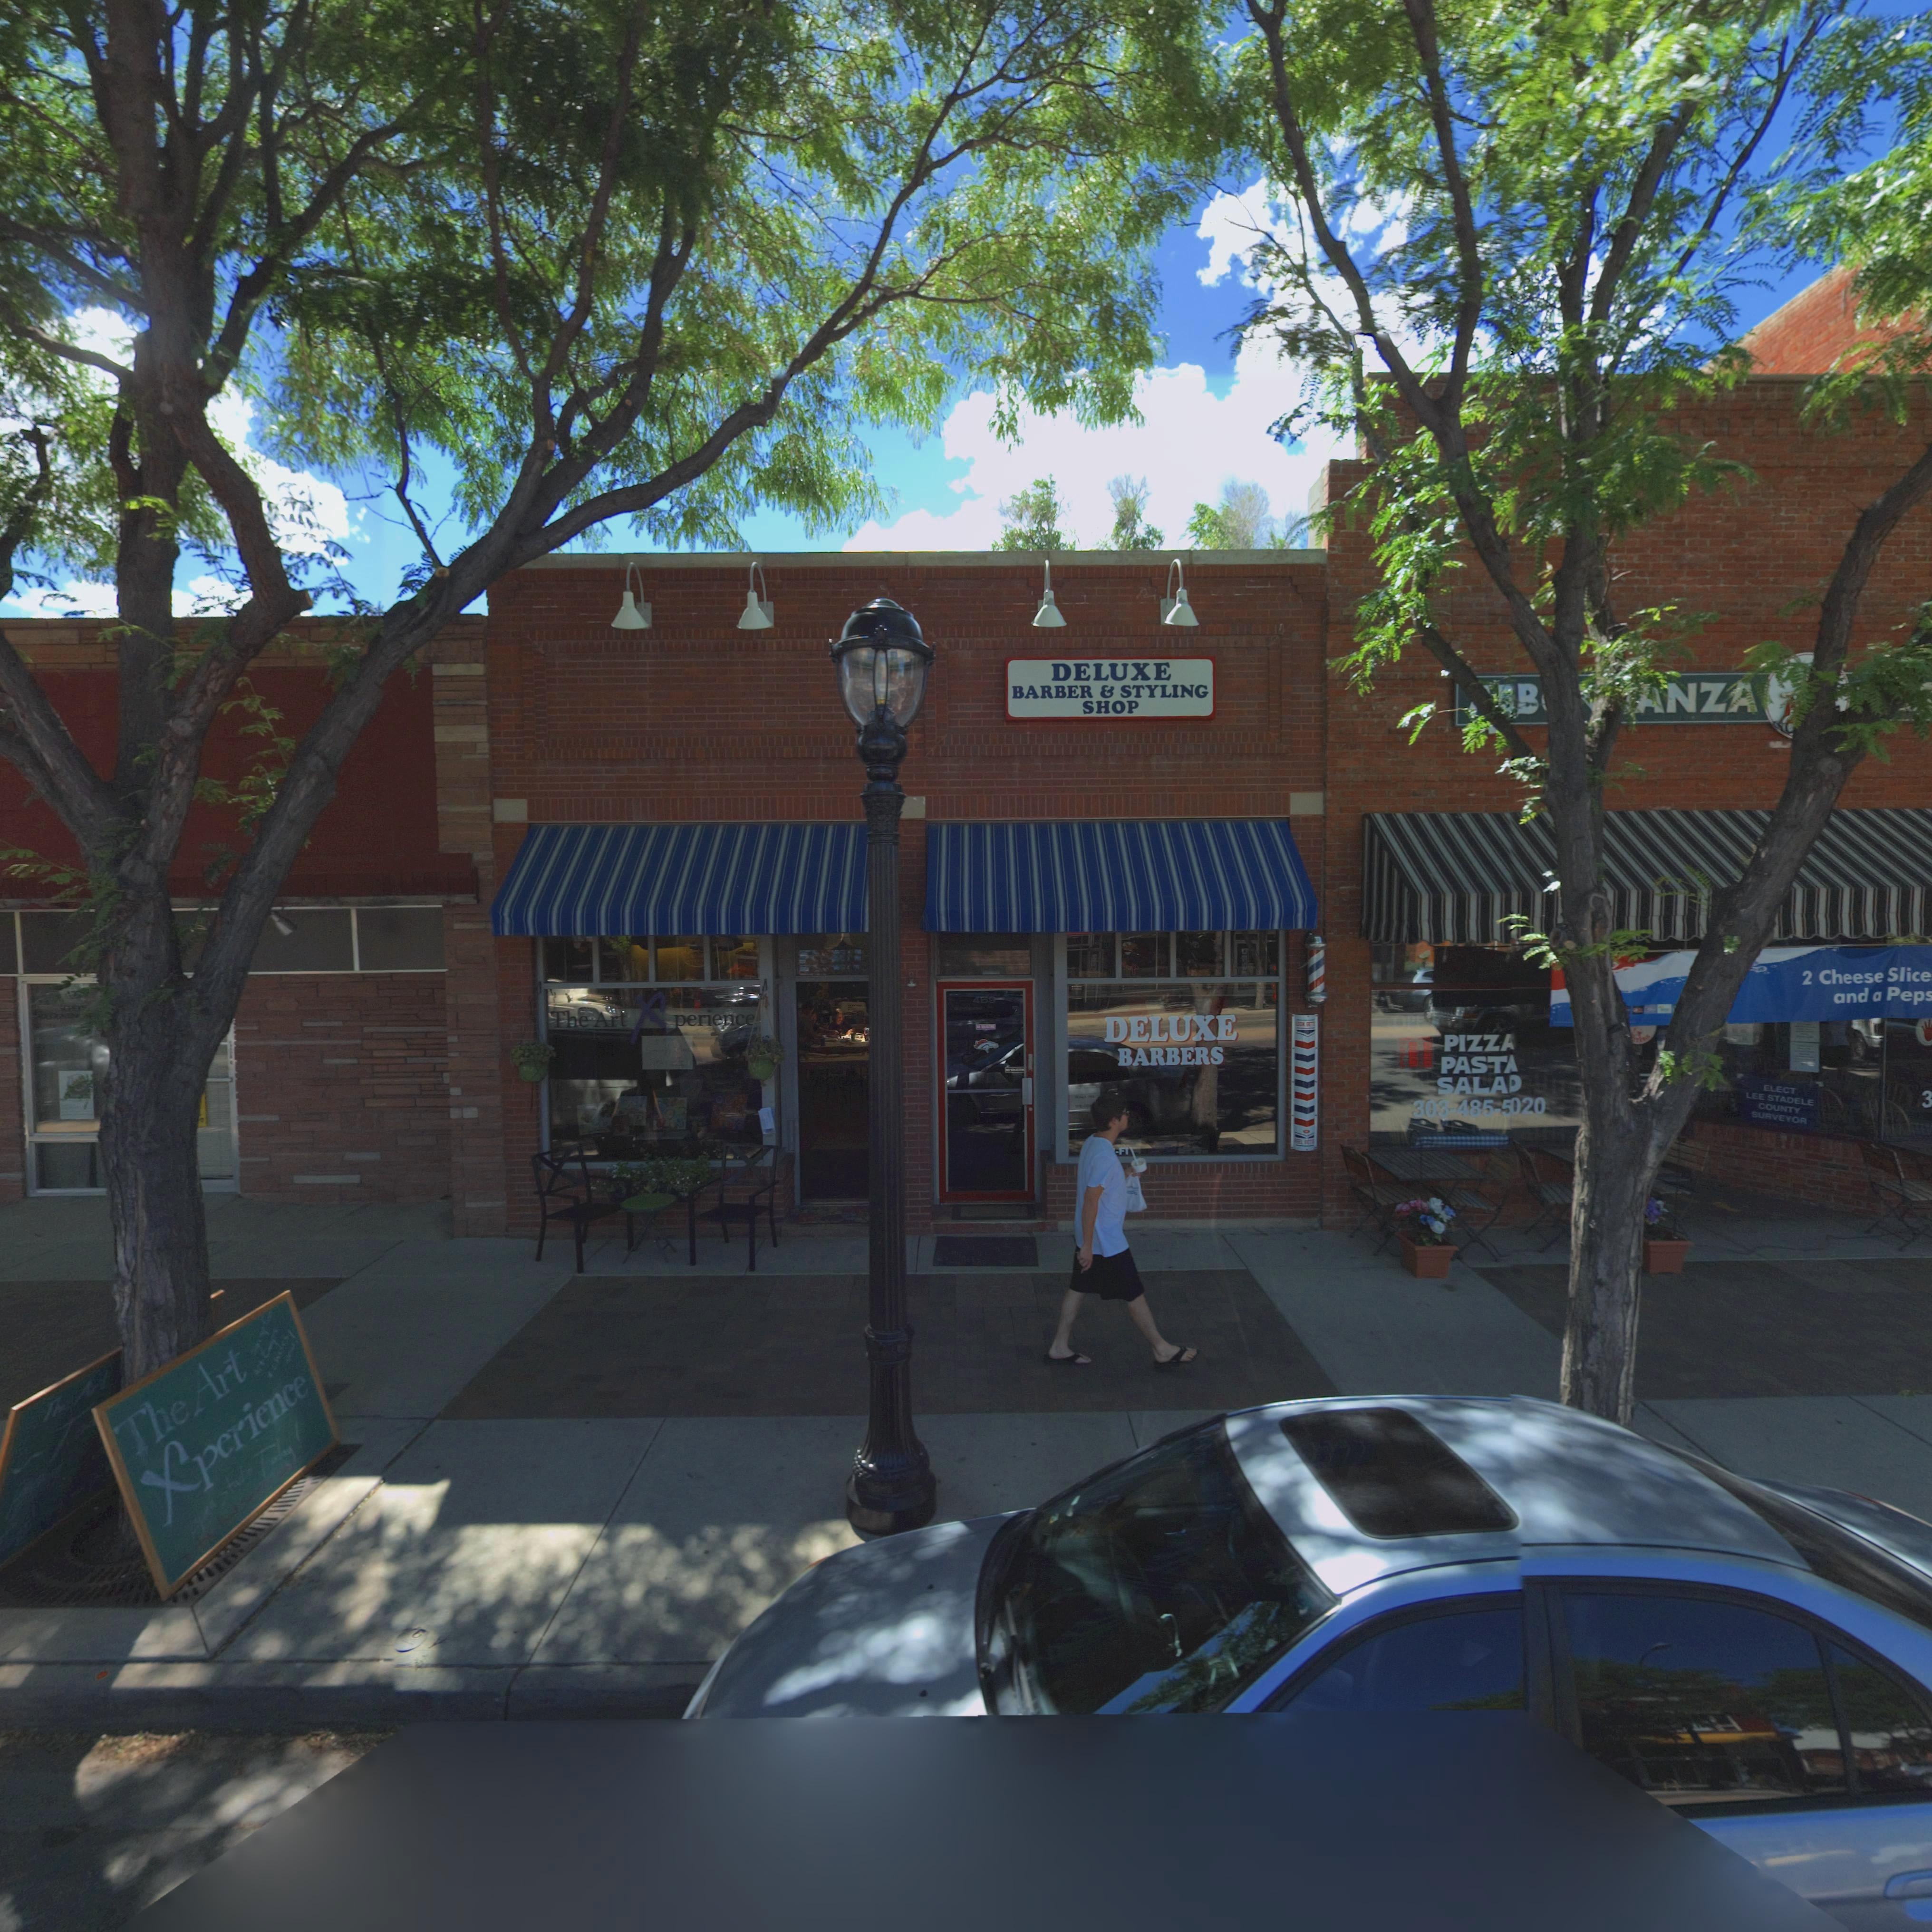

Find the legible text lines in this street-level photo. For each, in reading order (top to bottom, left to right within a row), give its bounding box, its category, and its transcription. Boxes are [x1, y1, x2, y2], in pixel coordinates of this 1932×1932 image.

[1050, 661, 1172, 682] BusinessName: DELUXE
[1011, 683, 1209, 699] BusinessName: BARBER & STYLING
[1082, 700, 1139, 715] BusinessName: SHOP
[1516, 681, 1758, 715] BusinessName: B**ANZA
[908, 971, 915, 981] StreetNumber: 9
[972, 995, 996, 1004] StreetNumber: 459
[1104, 1014, 1238, 1043] BusinessName: DELUXE
[1116, 1046, 1224, 1066] BusinessName: BARBERS
[43, 1368, 113, 1422] BusinessName: Th* A*t